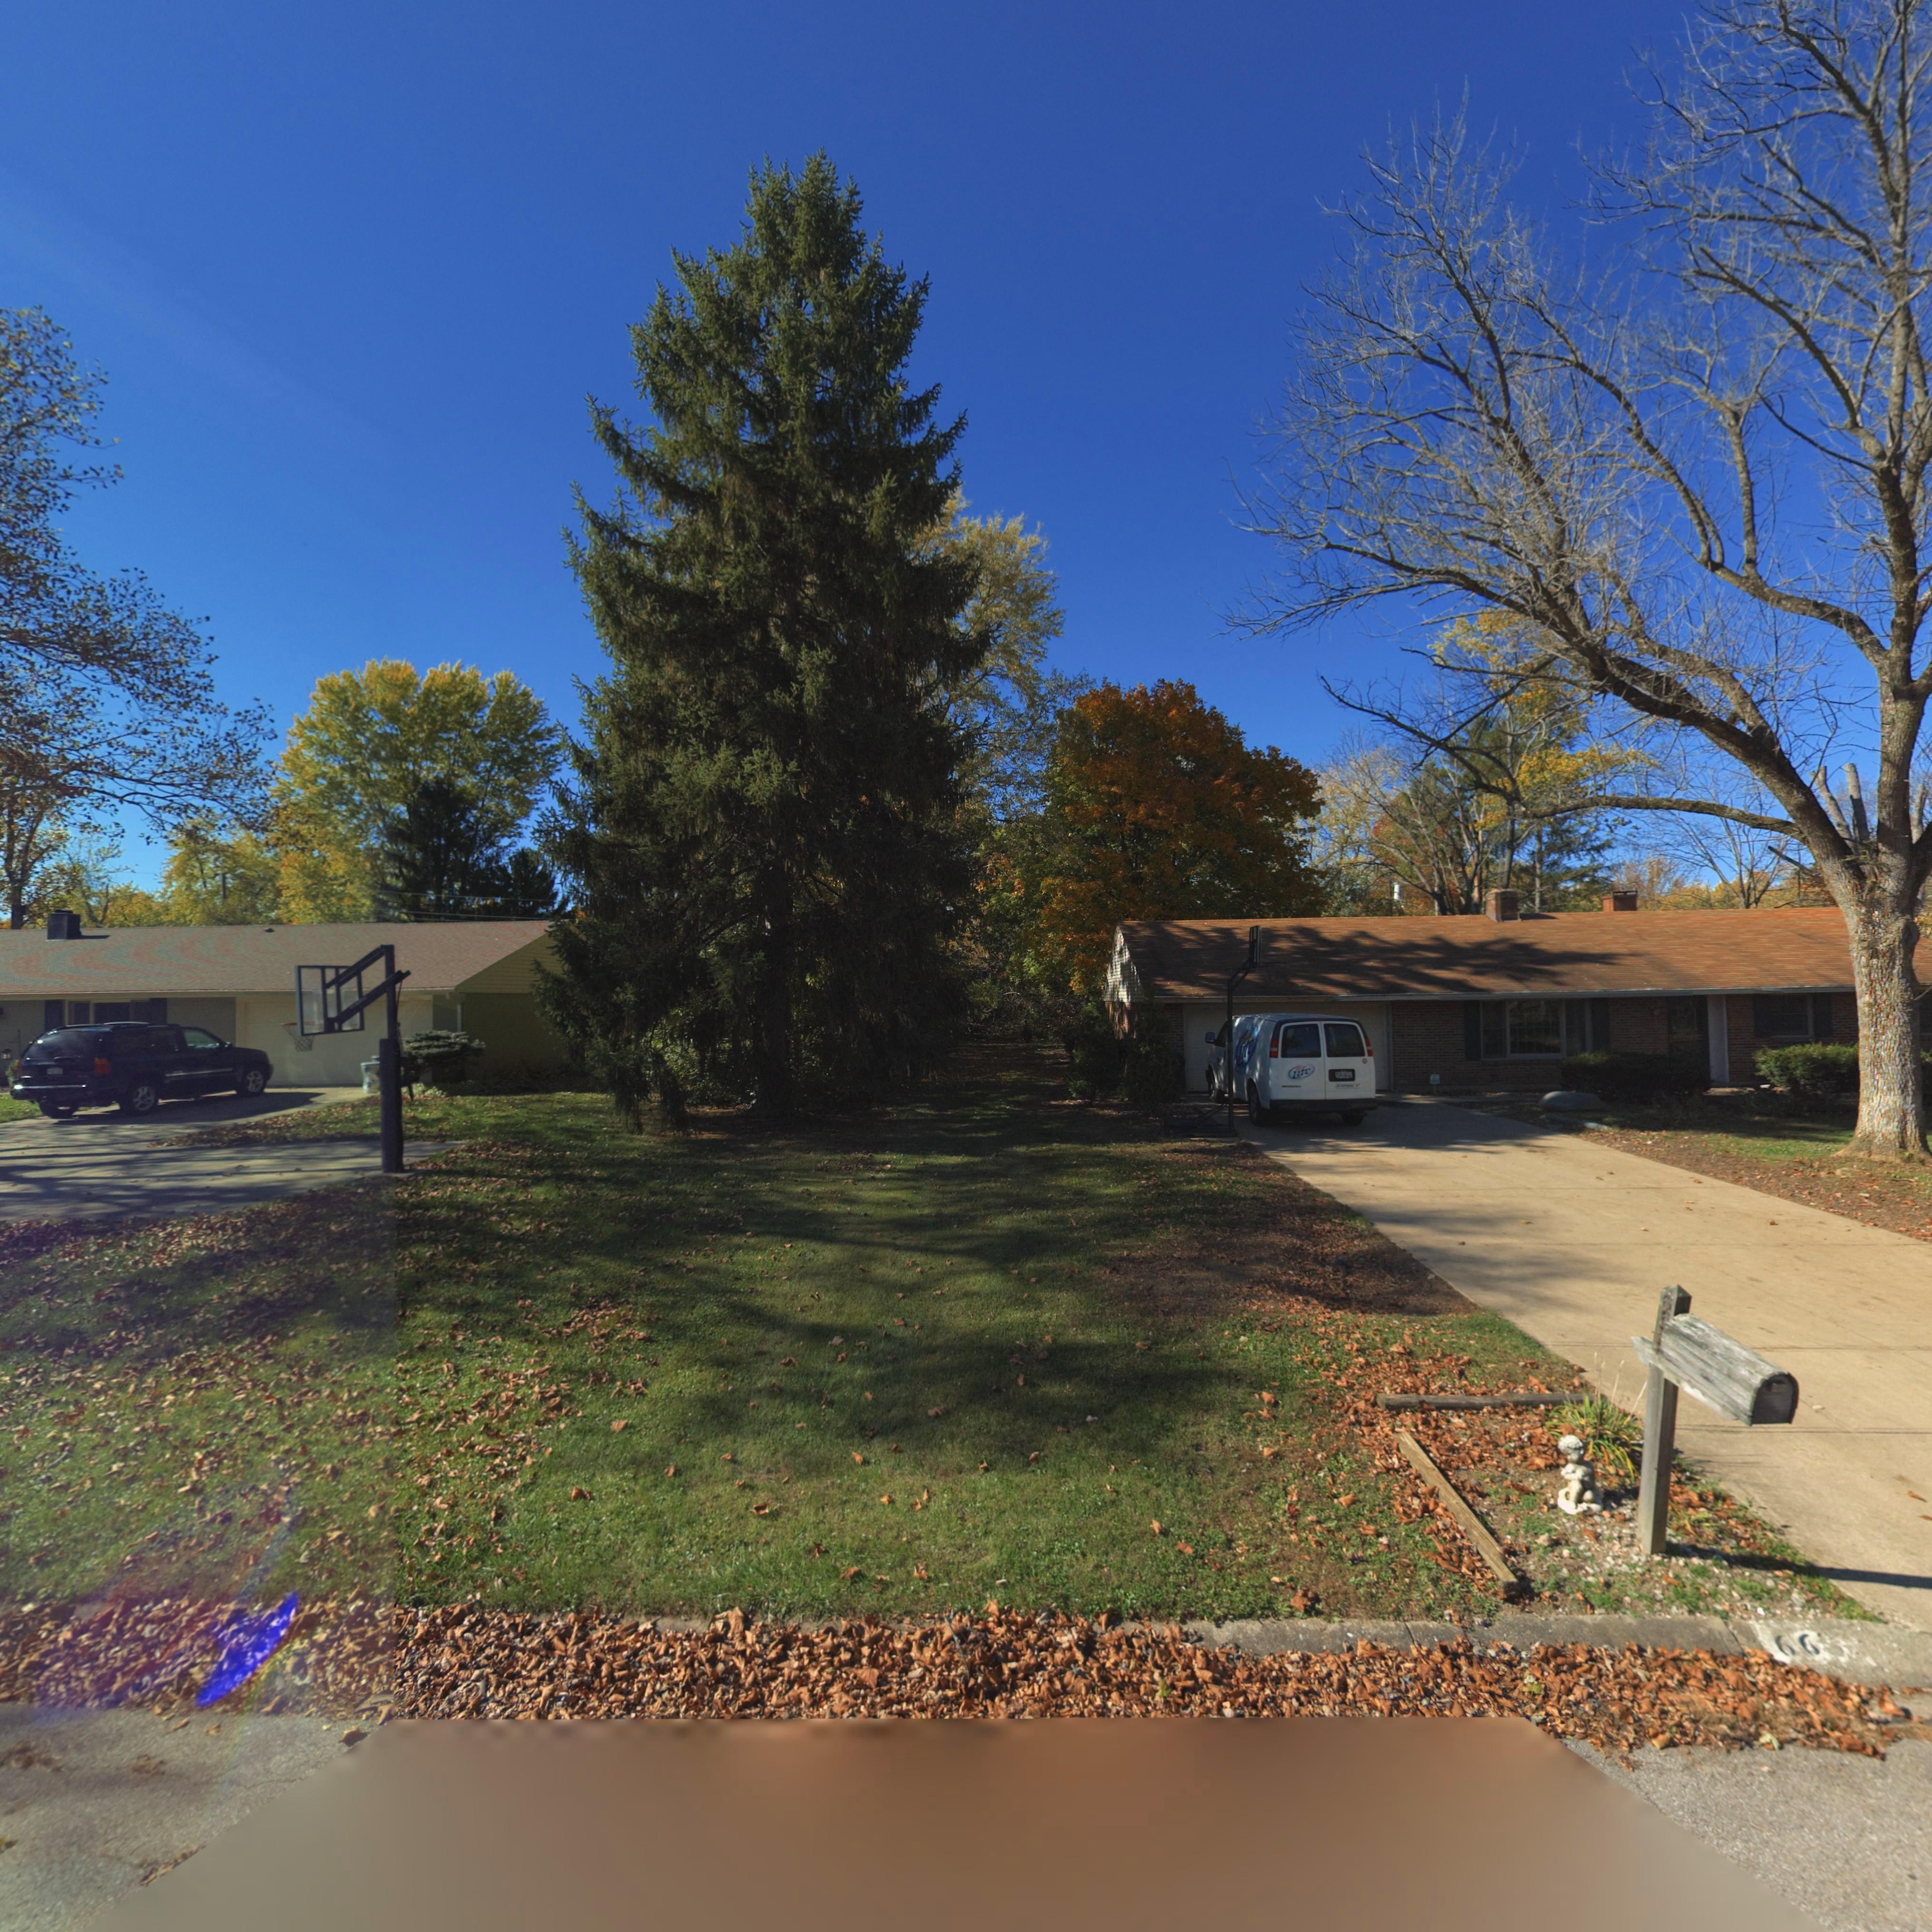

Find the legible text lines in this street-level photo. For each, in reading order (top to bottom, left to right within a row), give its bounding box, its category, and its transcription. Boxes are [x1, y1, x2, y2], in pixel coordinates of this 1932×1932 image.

[1291, 1067, 1312, 1080] None: Lite
[1774, 1633, 1822, 1657] StreetNumber: 66